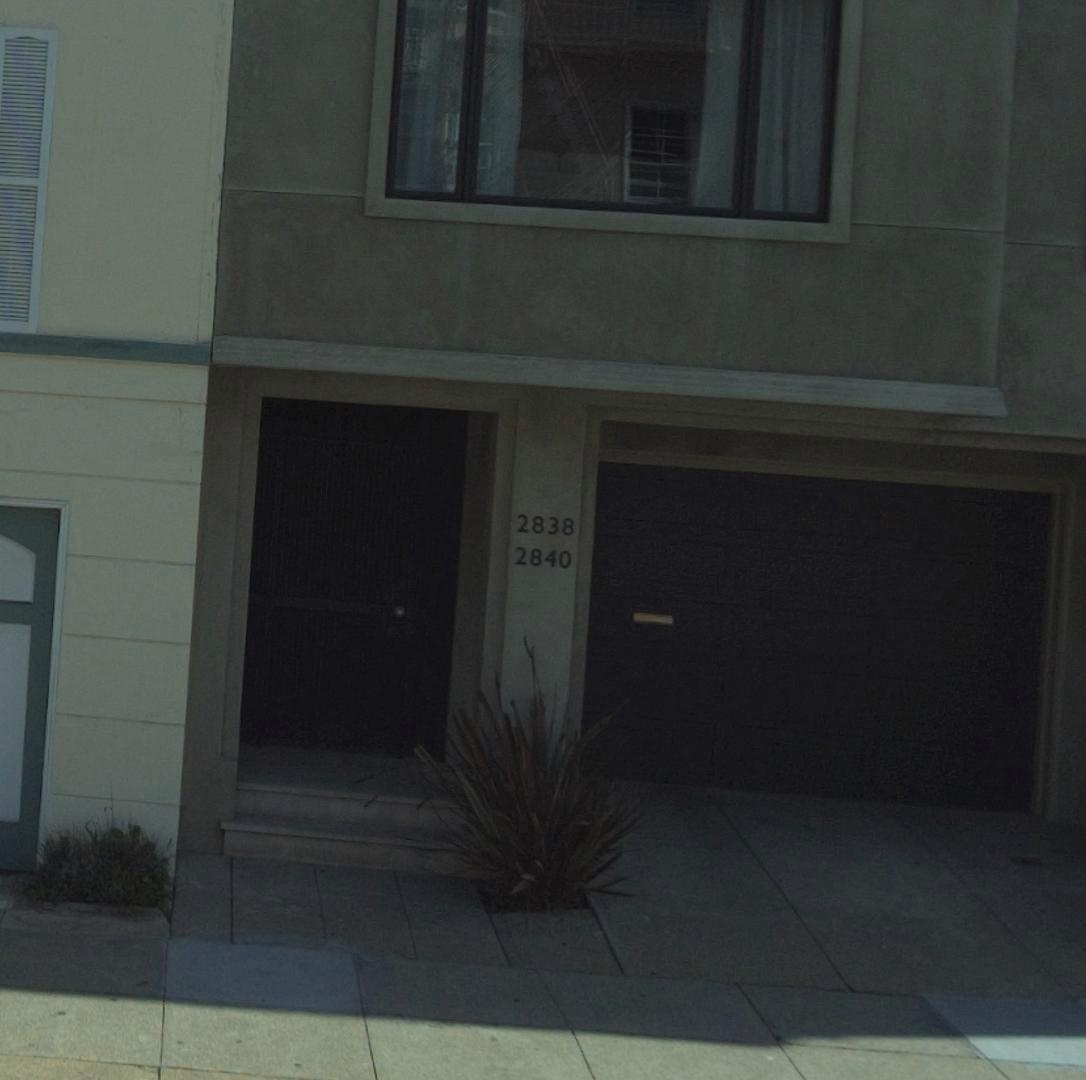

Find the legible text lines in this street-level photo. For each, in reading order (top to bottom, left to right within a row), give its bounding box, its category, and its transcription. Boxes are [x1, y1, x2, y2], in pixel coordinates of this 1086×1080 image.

[515, 512, 575, 537] StreetNumber: 2838
[512, 545, 573, 571] StreetNumber: 2840